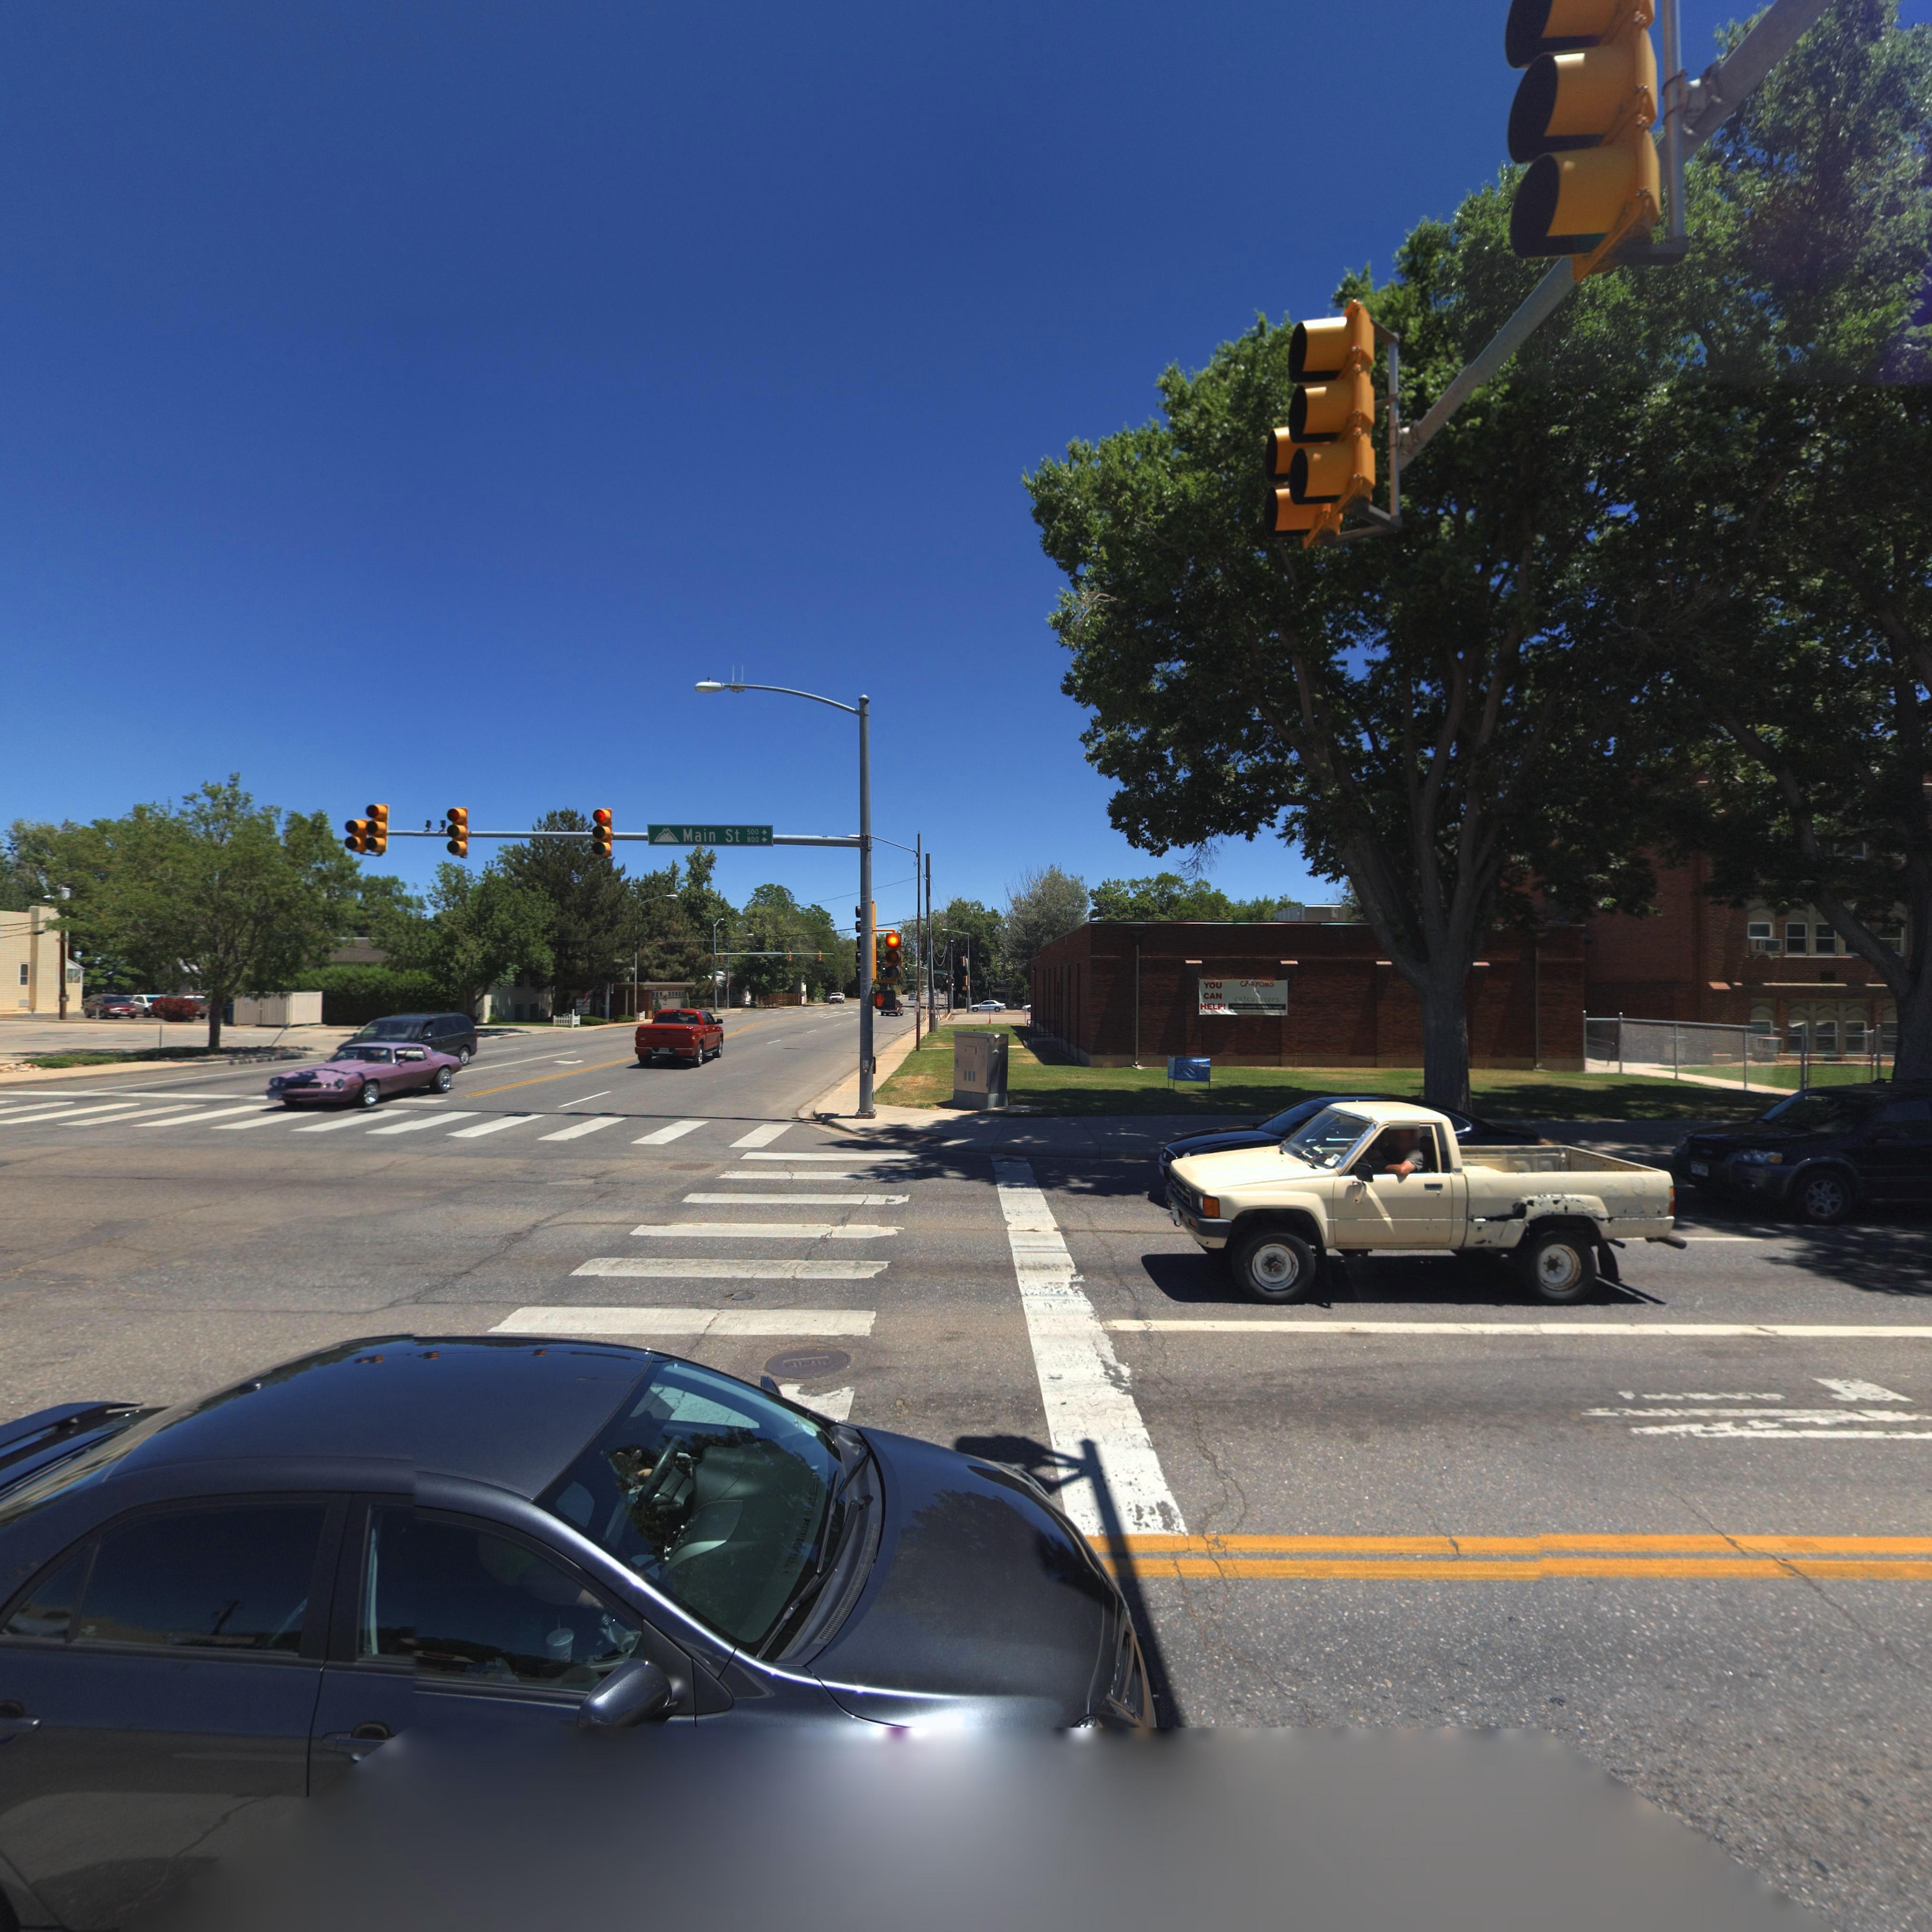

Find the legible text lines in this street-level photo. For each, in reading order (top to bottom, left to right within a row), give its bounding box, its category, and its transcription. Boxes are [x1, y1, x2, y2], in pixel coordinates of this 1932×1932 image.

[747, 829, 758, 835] StreetNumberRange: 500
[683, 828, 740, 842] StreetName: Main St
[747, 836, 767, 842] StreetNumberRange: 800->